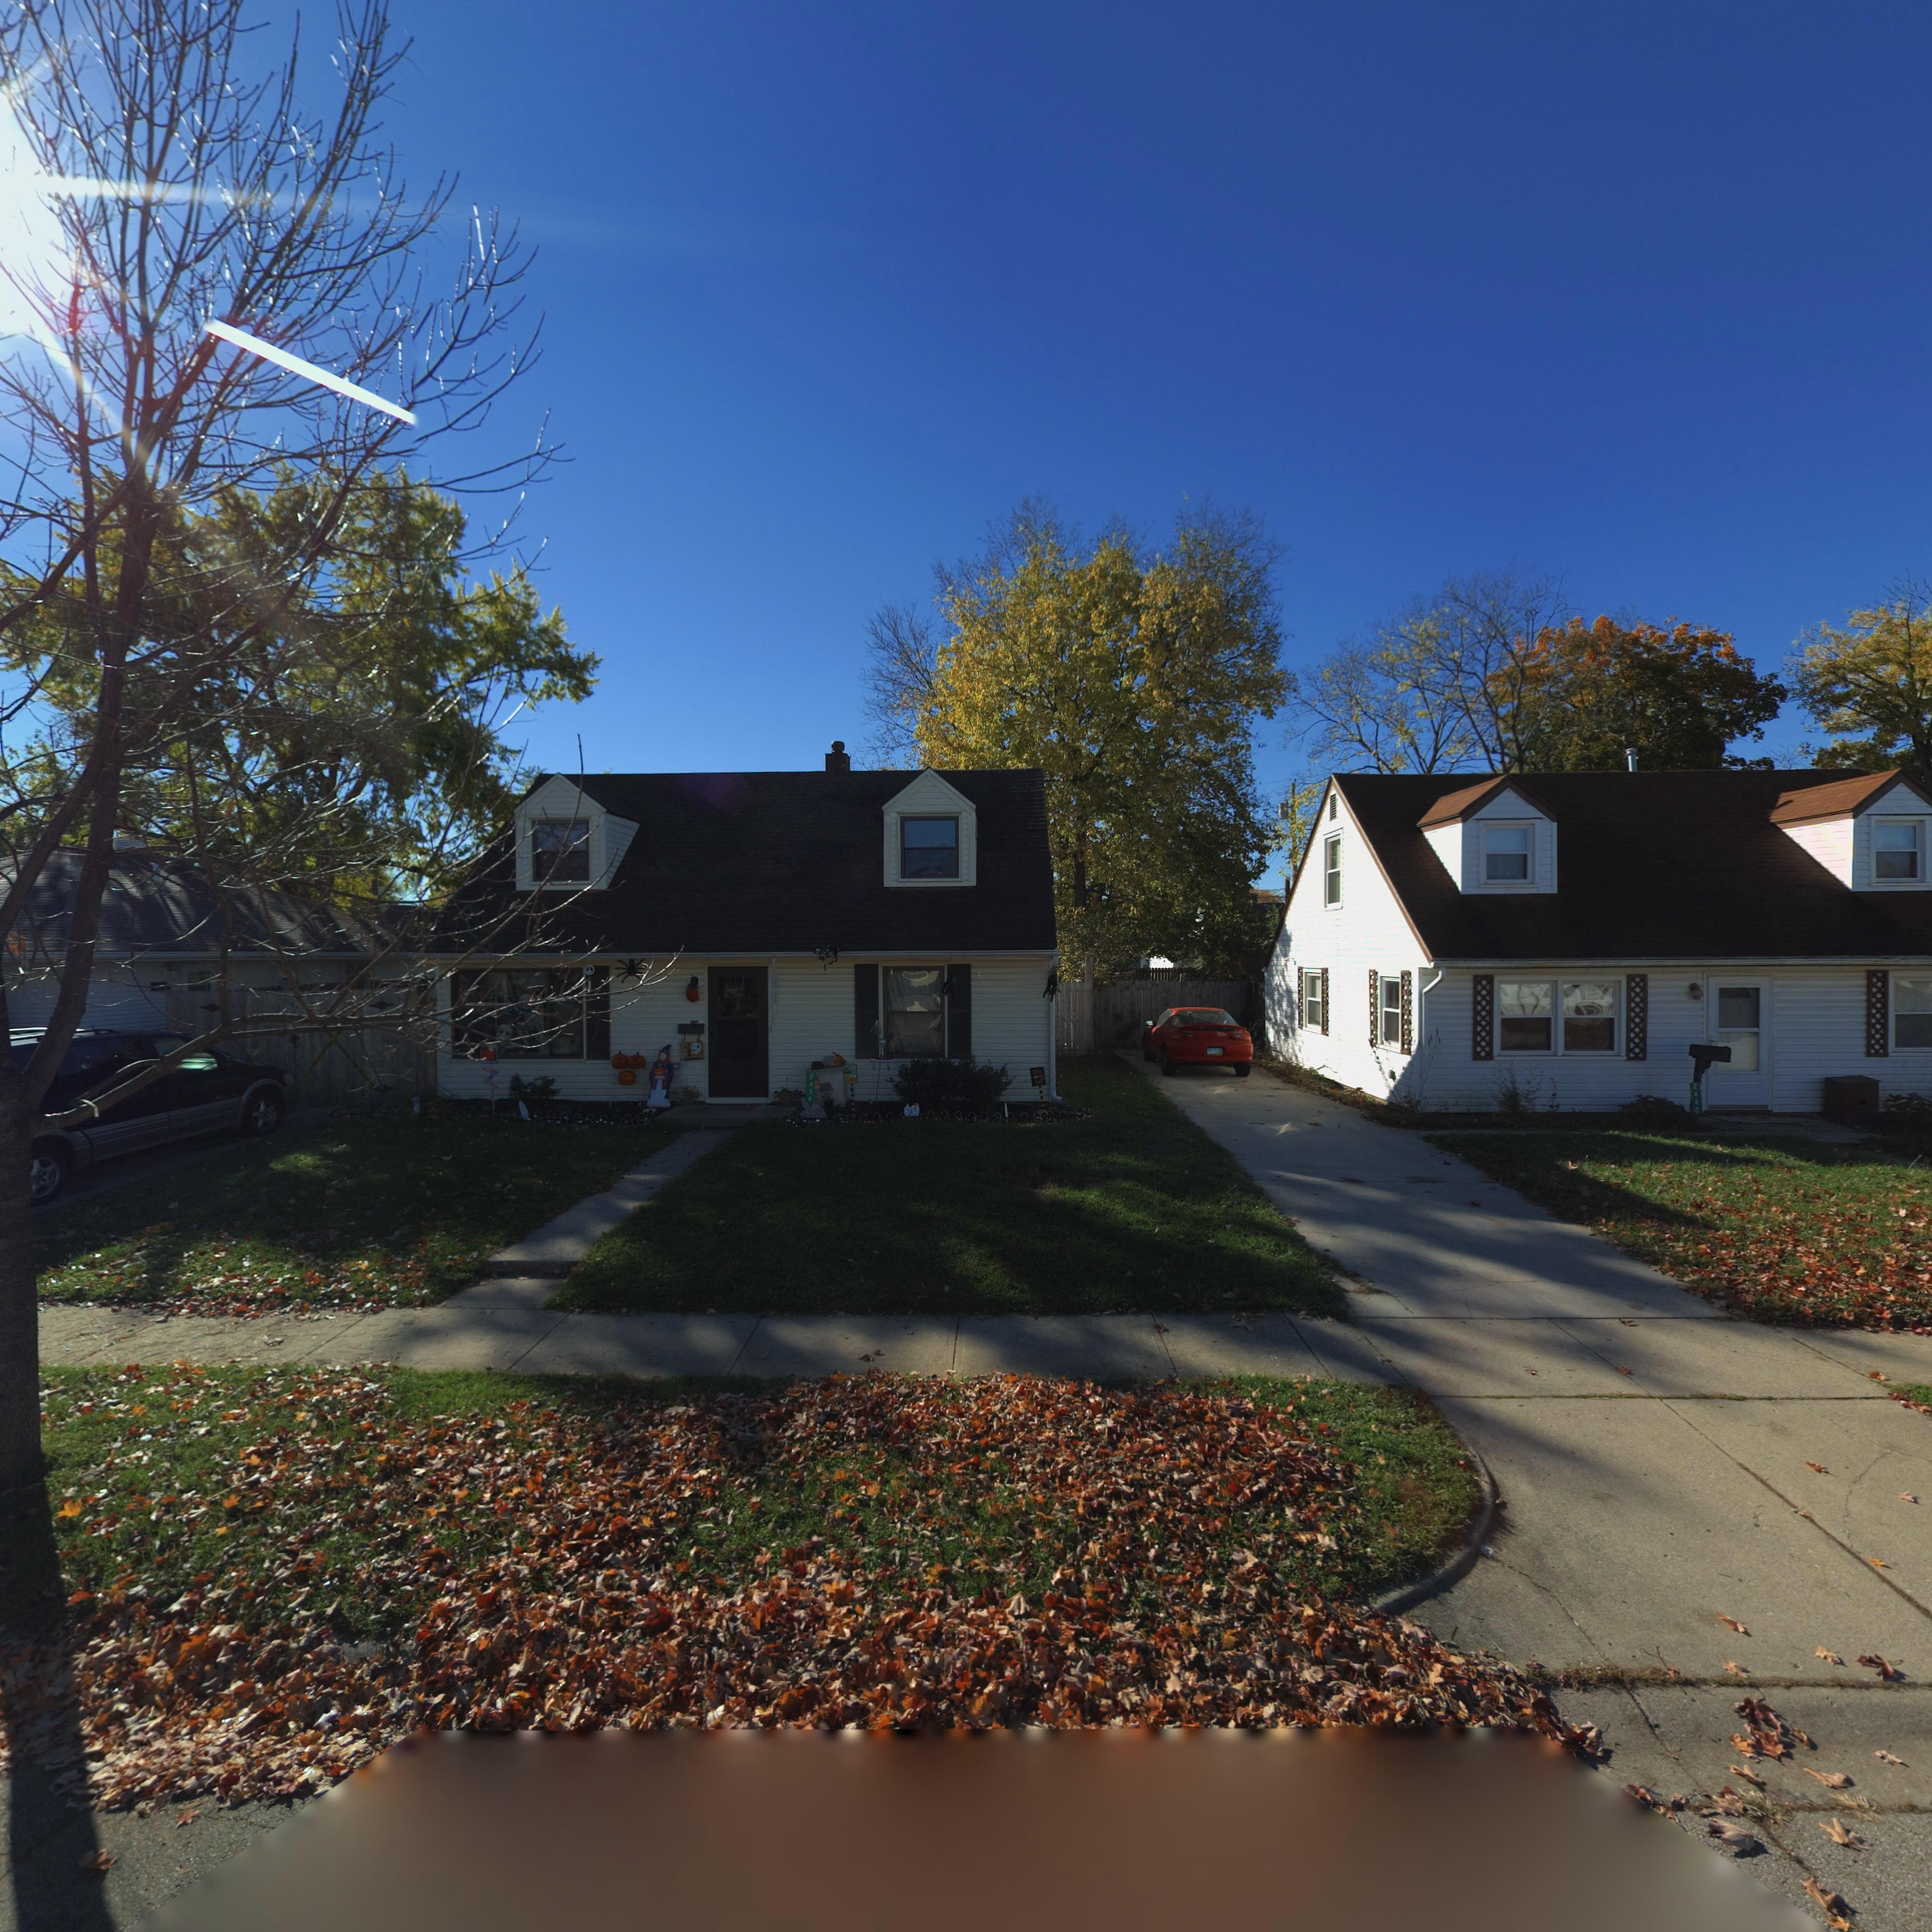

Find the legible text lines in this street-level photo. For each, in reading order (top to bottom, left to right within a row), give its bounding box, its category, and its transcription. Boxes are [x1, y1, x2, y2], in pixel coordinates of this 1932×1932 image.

[807, 1073, 814, 1102] StreetNumber: 2436
[1691, 1082, 1701, 1114] StreetNumber: 2***